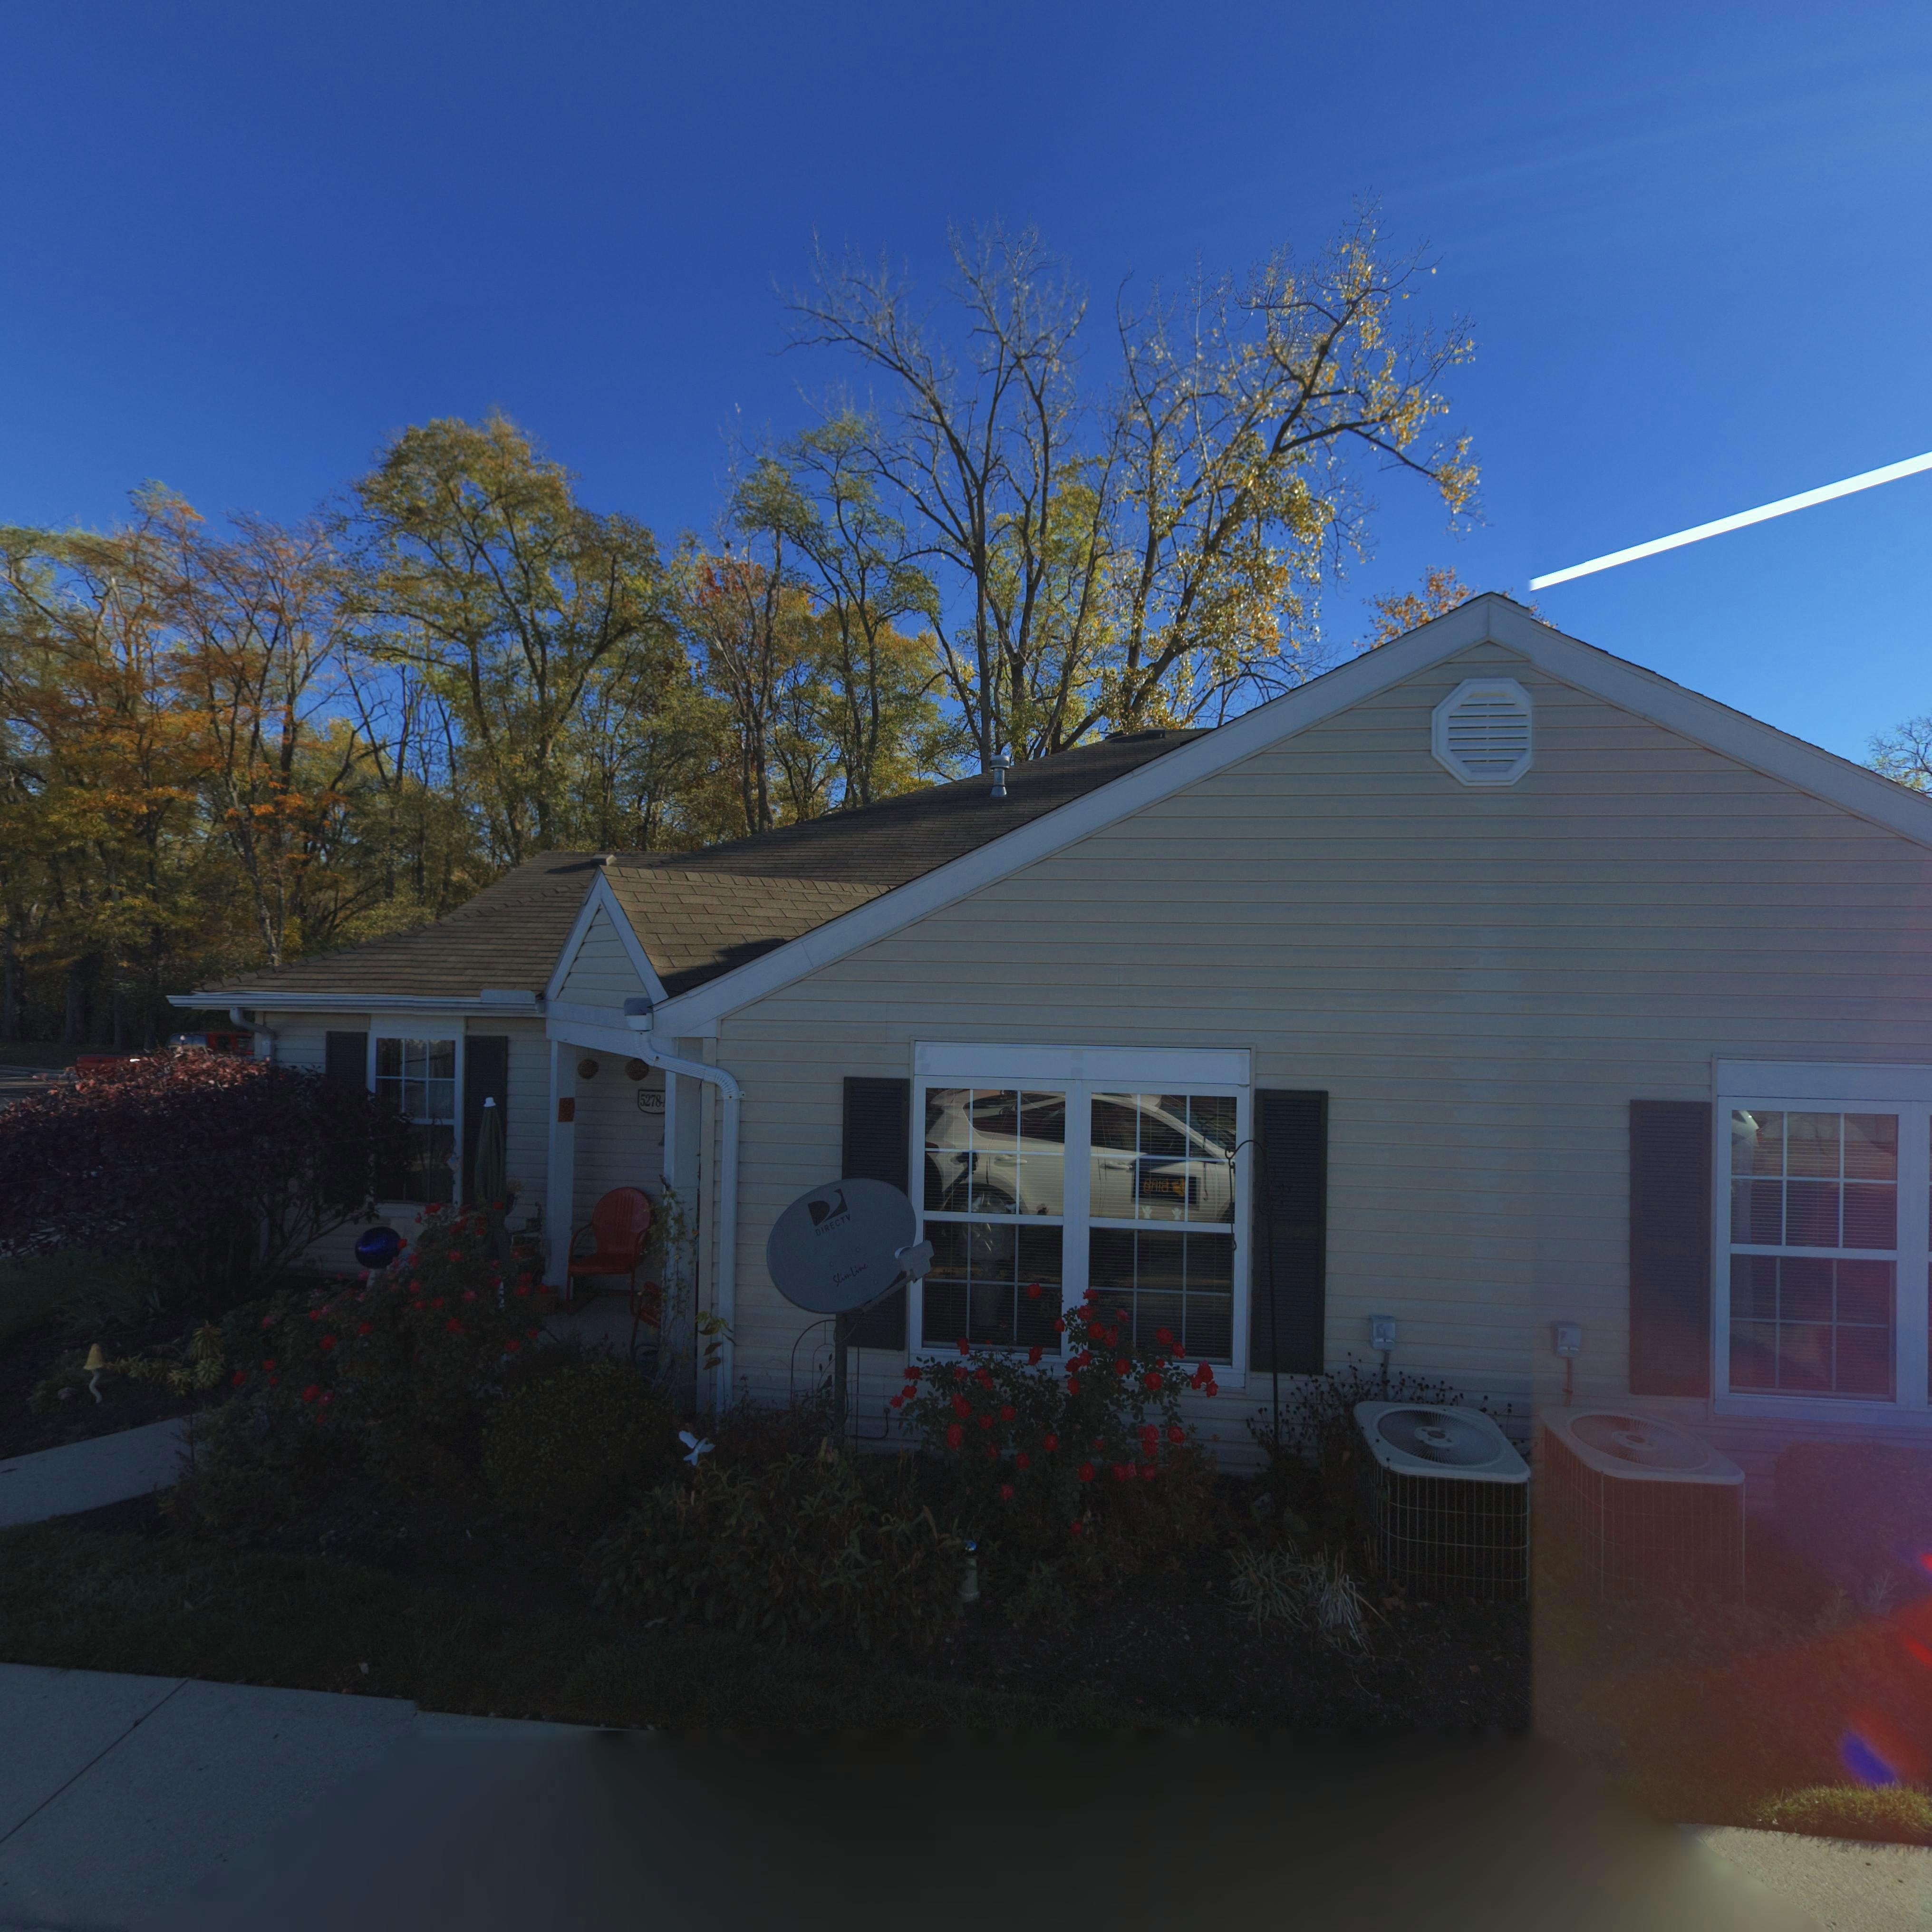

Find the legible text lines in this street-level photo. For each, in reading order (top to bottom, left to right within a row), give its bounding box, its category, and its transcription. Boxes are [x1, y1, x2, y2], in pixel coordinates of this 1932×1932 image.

[639, 1093, 662, 1108] StreetNumber: 5278